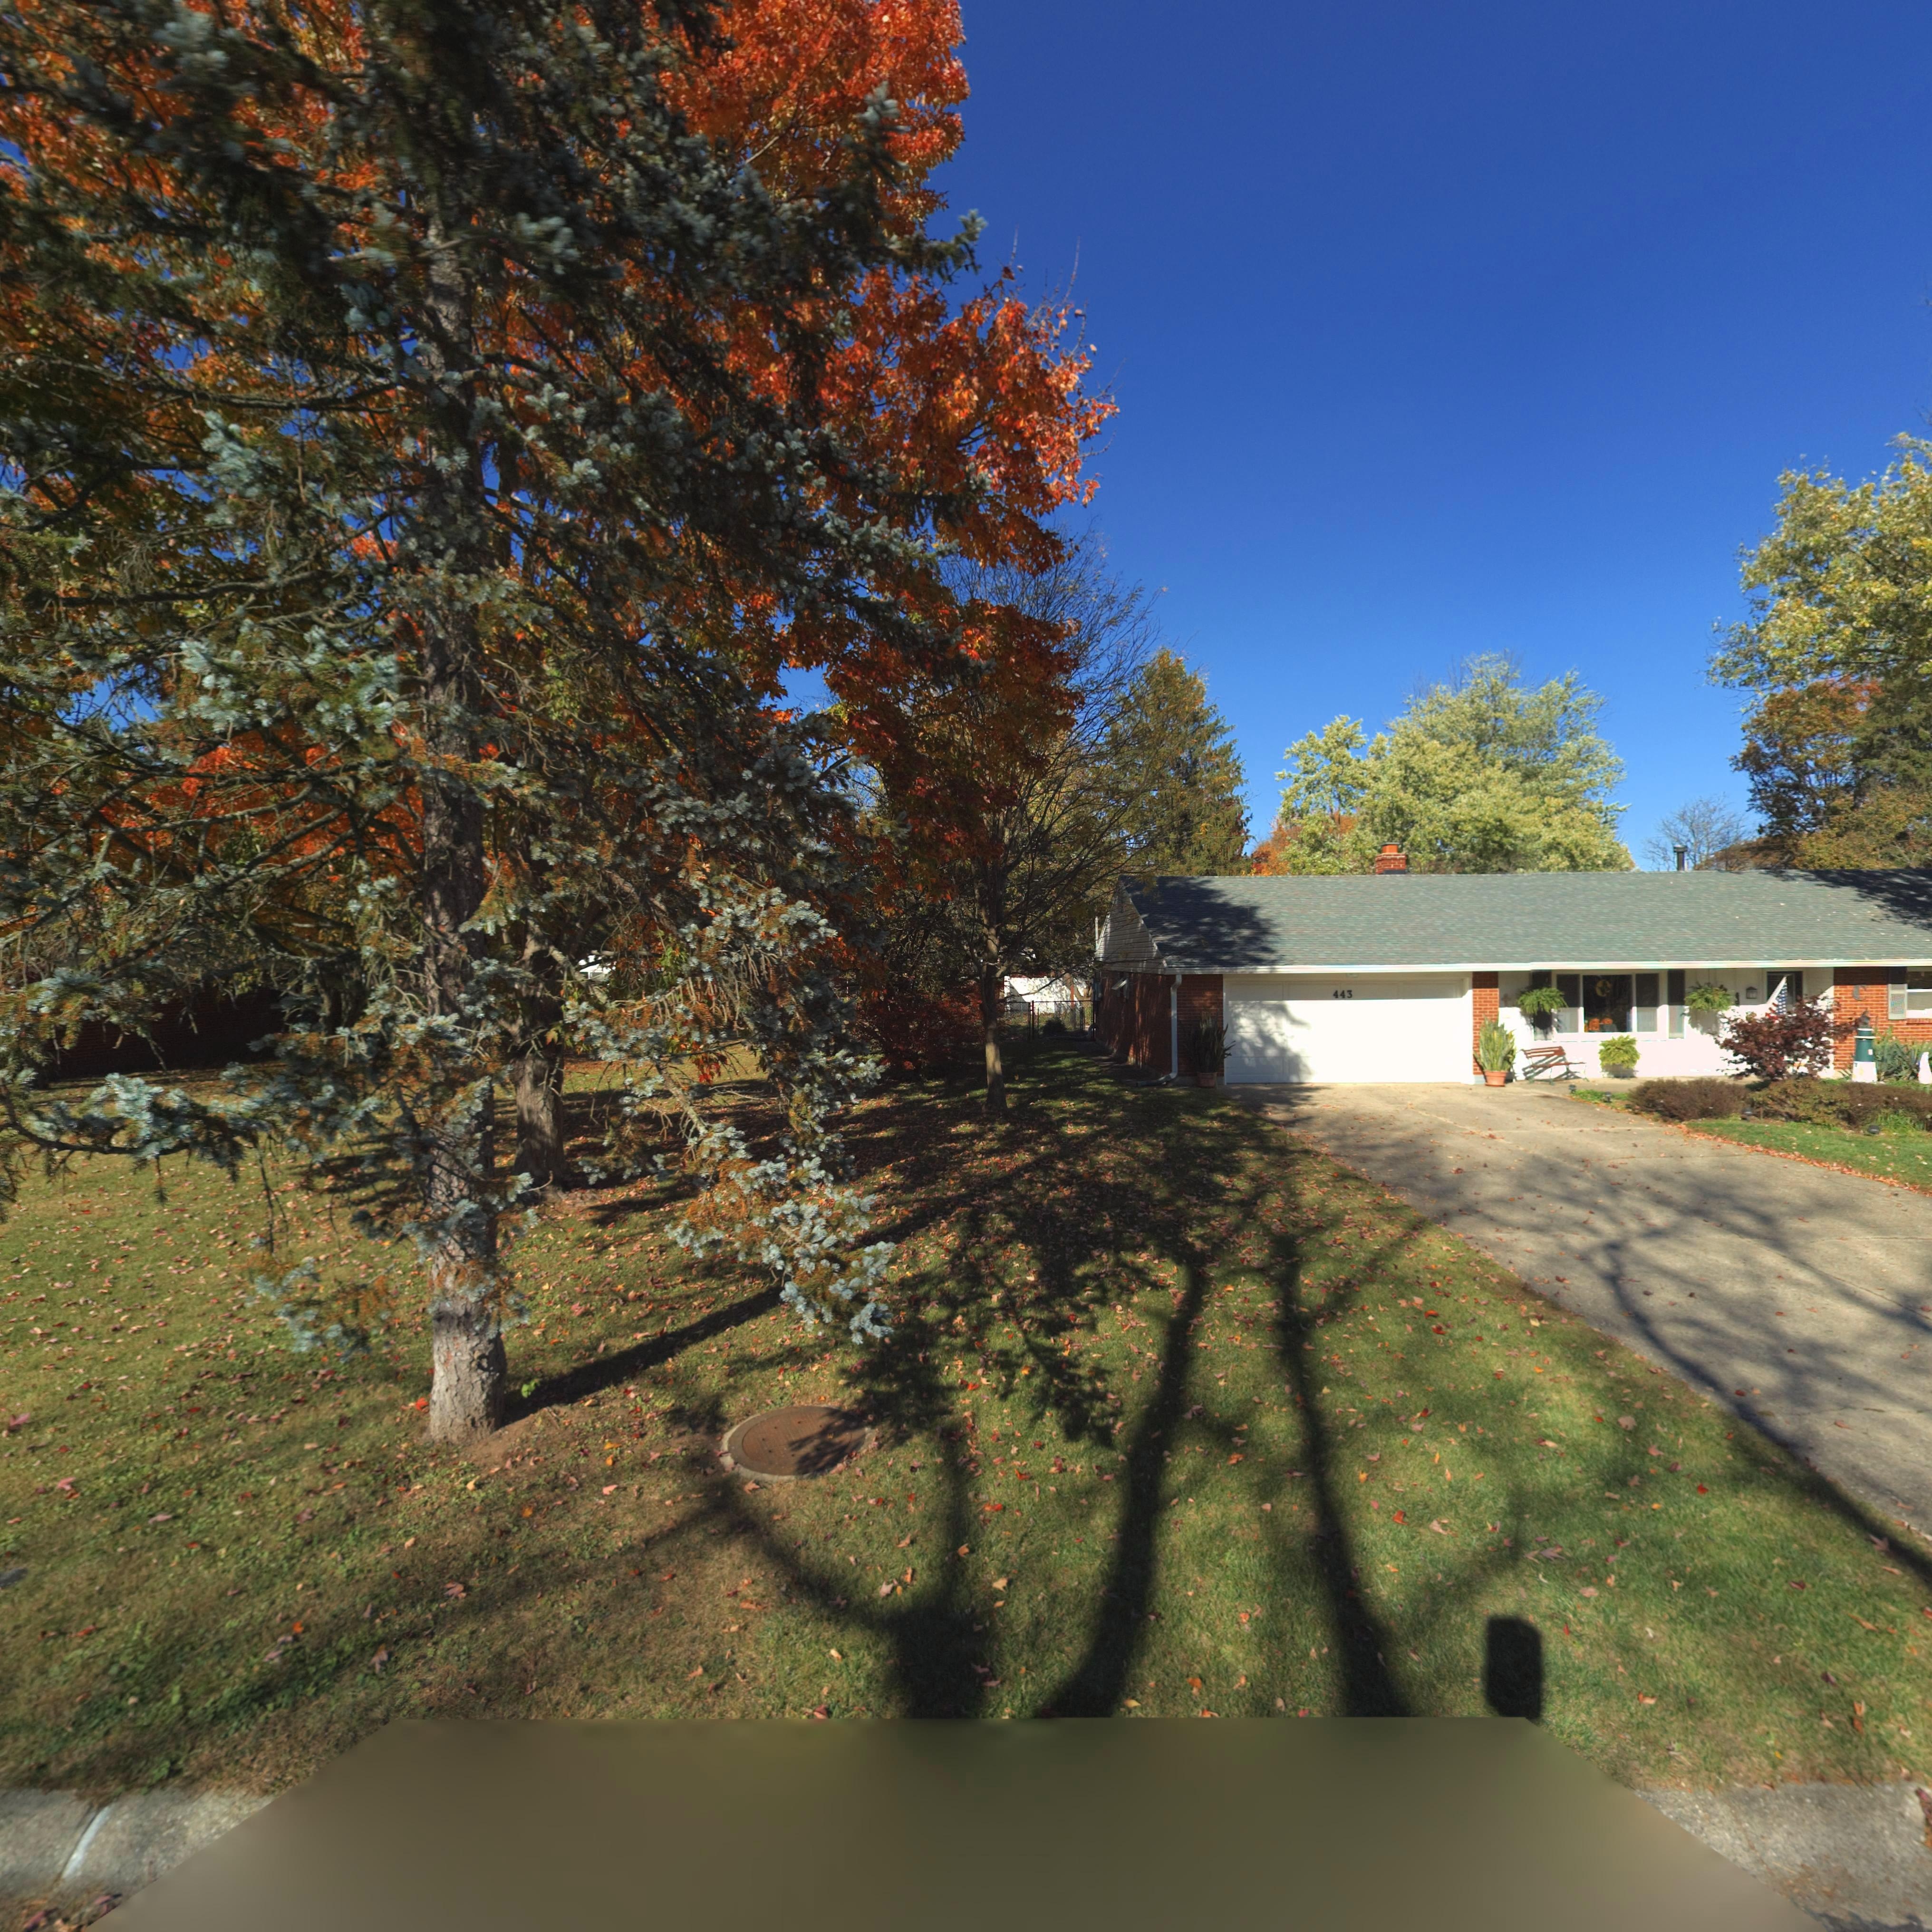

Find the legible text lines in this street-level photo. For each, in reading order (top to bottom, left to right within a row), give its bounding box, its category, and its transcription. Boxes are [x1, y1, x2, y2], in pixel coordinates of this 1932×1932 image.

[1332, 989, 1352, 999] StreetNumber: 443
[1852, 983, 1868, 1001] None: C